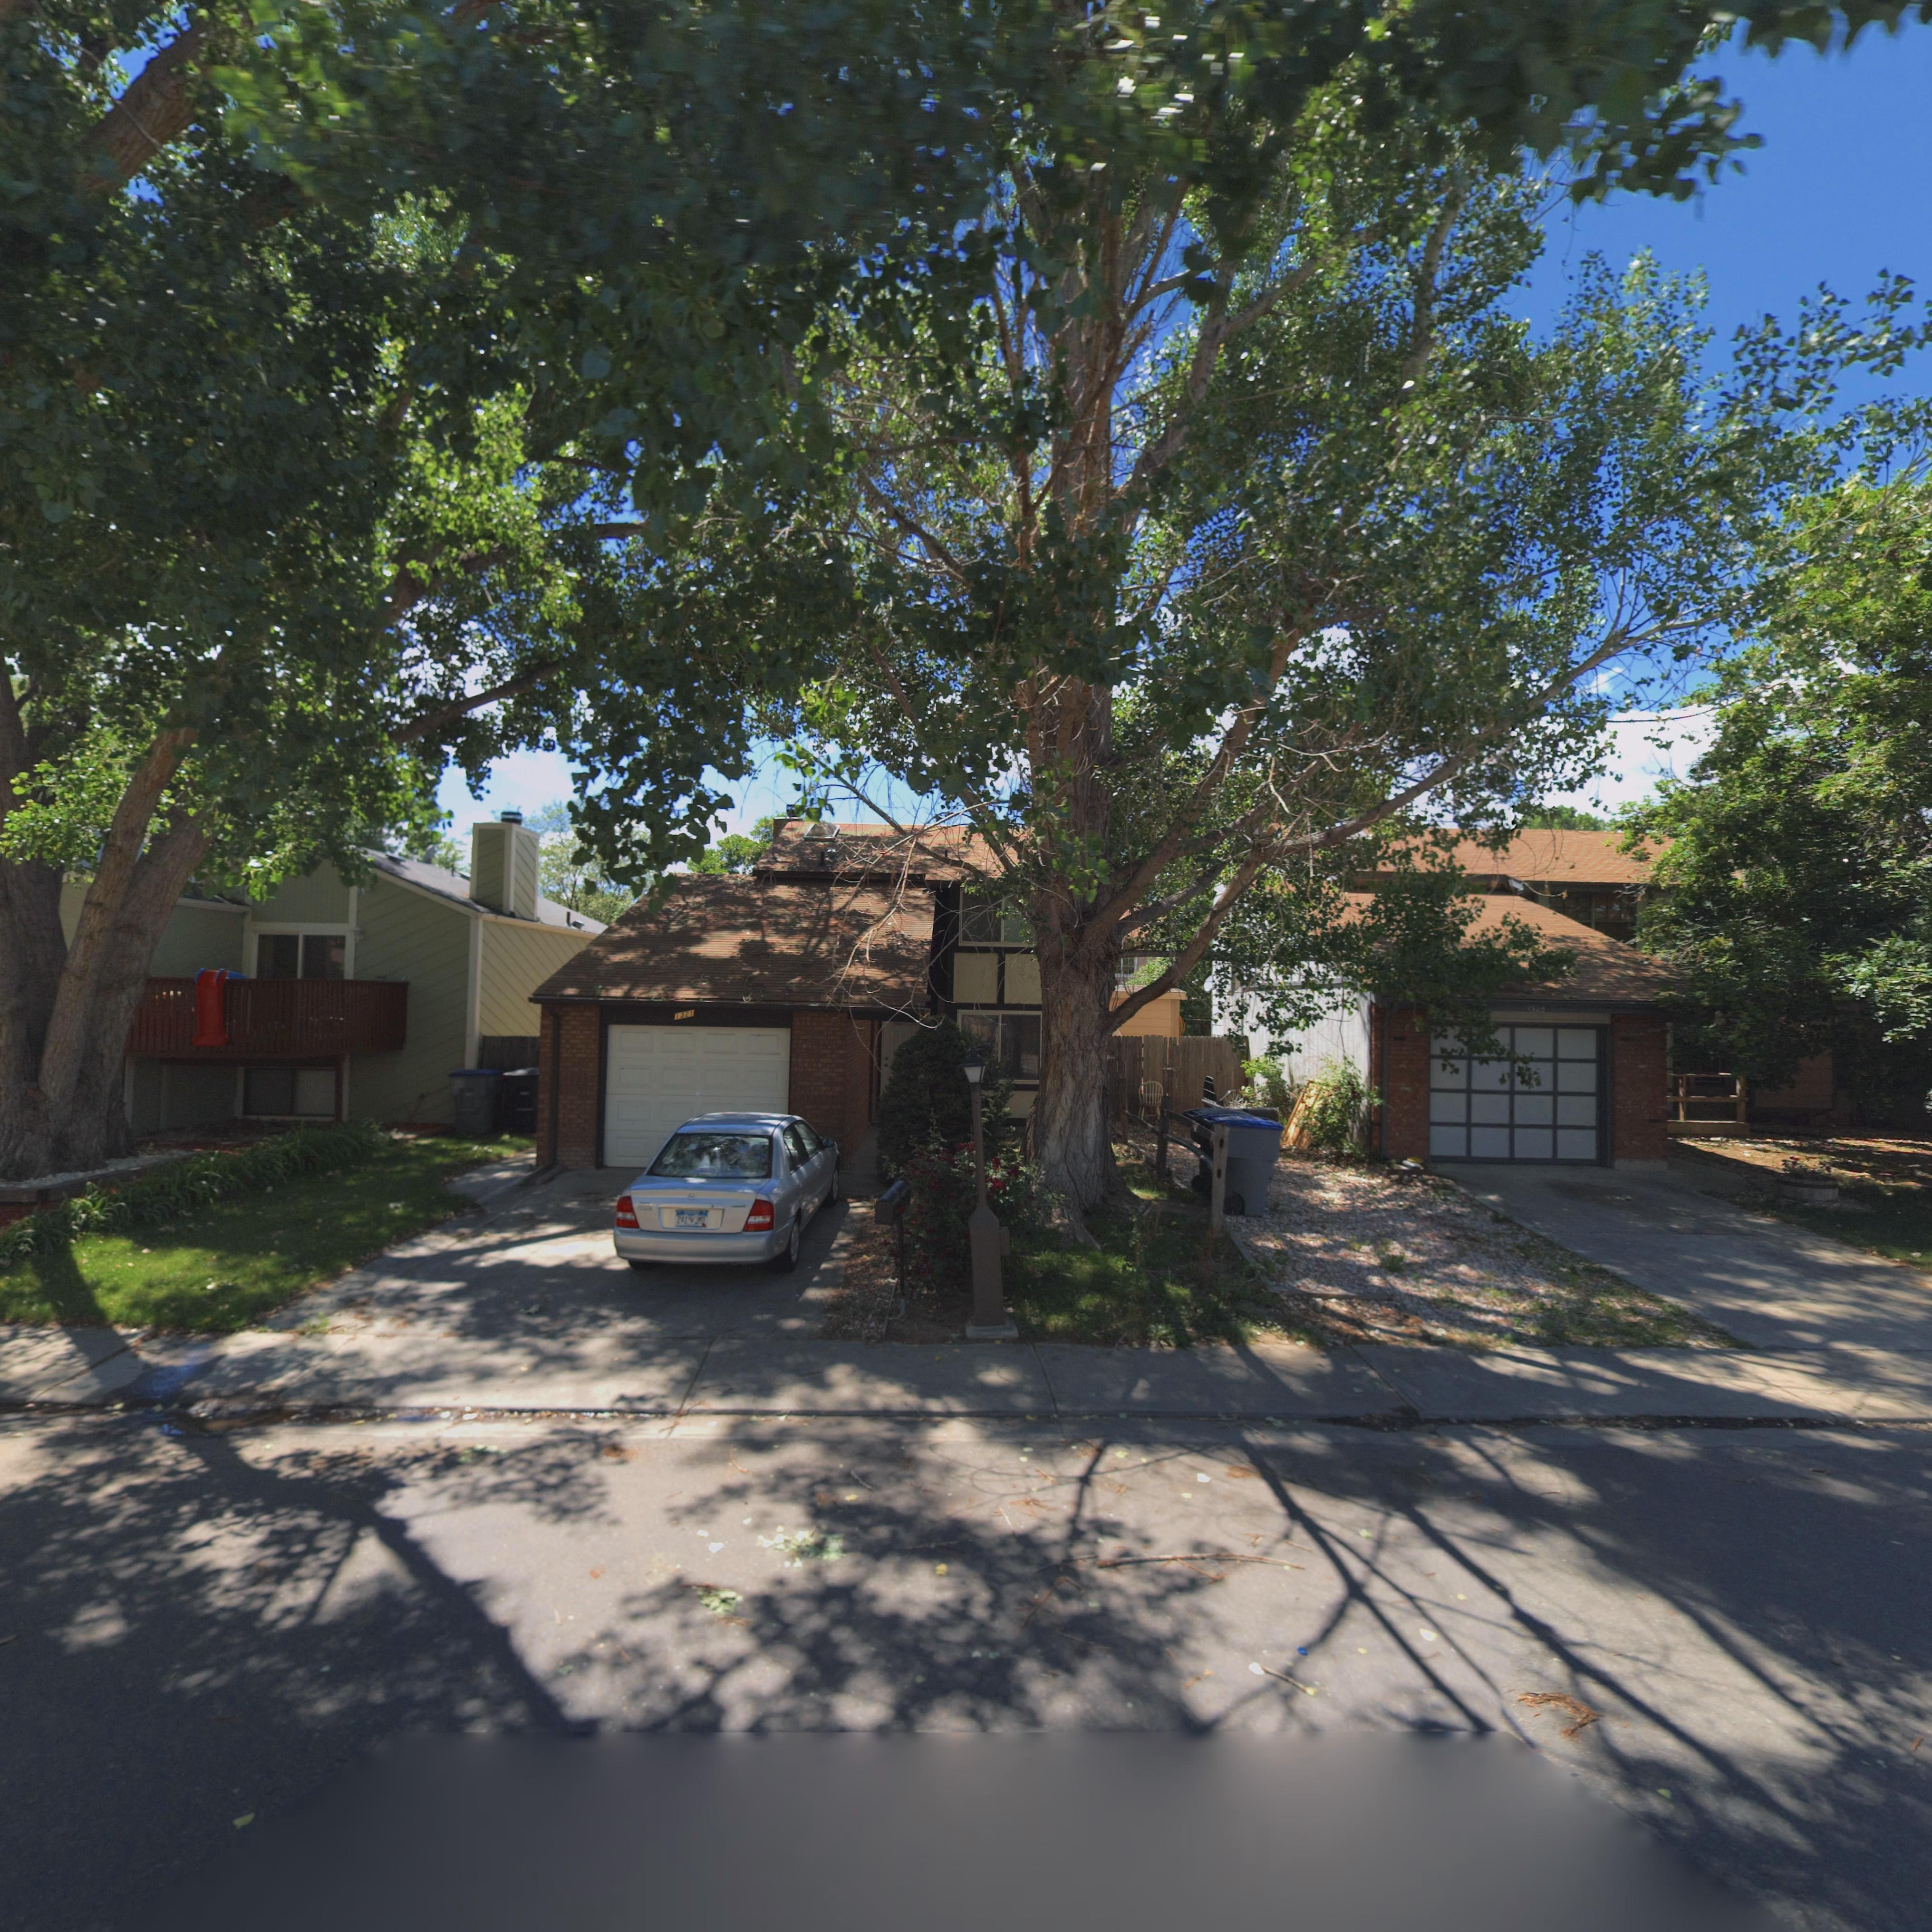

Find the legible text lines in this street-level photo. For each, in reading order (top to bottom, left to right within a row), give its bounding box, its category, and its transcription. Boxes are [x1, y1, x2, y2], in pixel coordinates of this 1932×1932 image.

[1526, 1005, 1546, 1013] StreetNumber: 13*5
[676, 1010, 693, 1020] StreetNumber: 1321